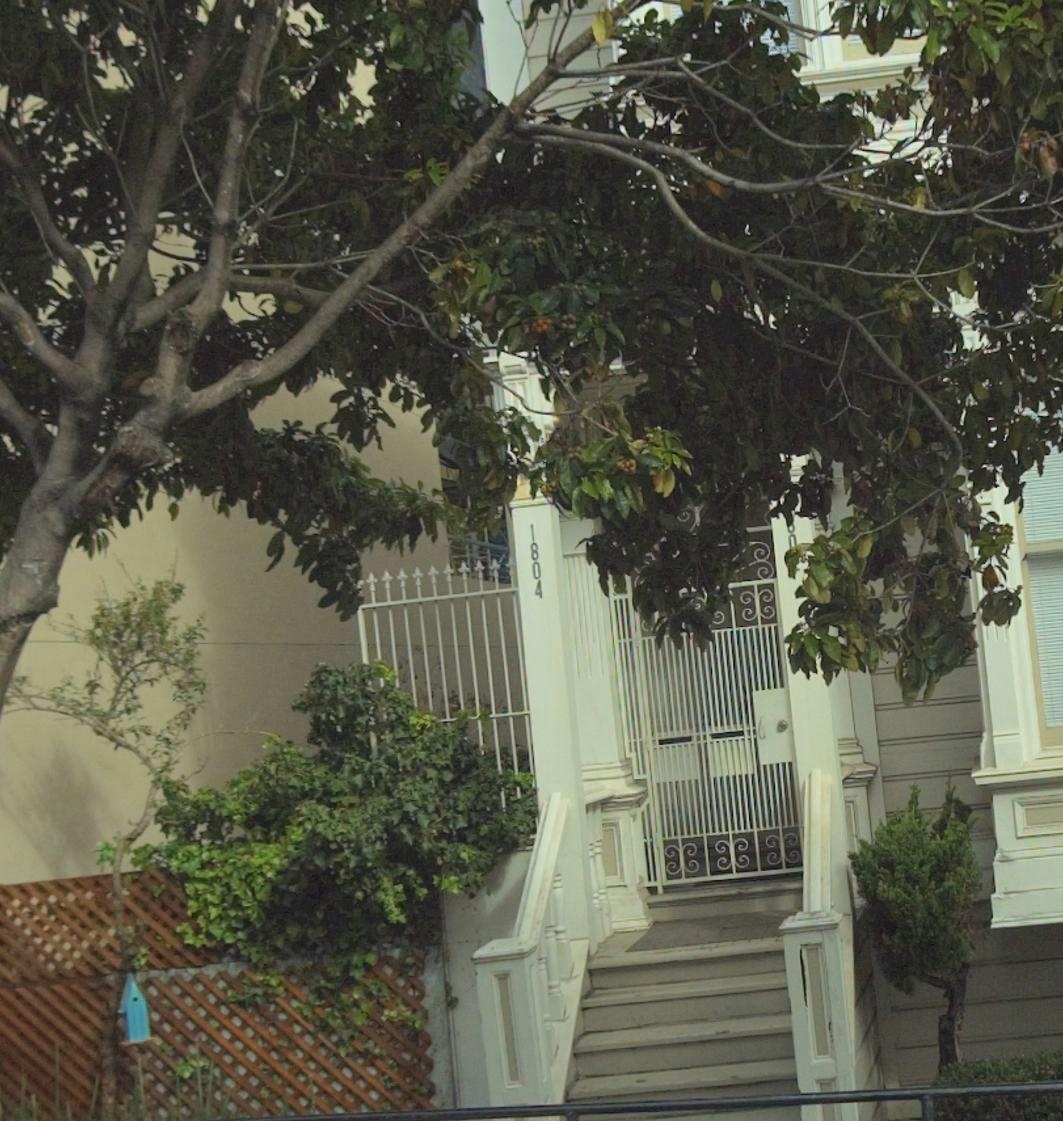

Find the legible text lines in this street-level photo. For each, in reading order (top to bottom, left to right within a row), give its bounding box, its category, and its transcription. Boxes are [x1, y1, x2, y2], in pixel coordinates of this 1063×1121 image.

[526, 521, 547, 601] StreetNumber: 1804